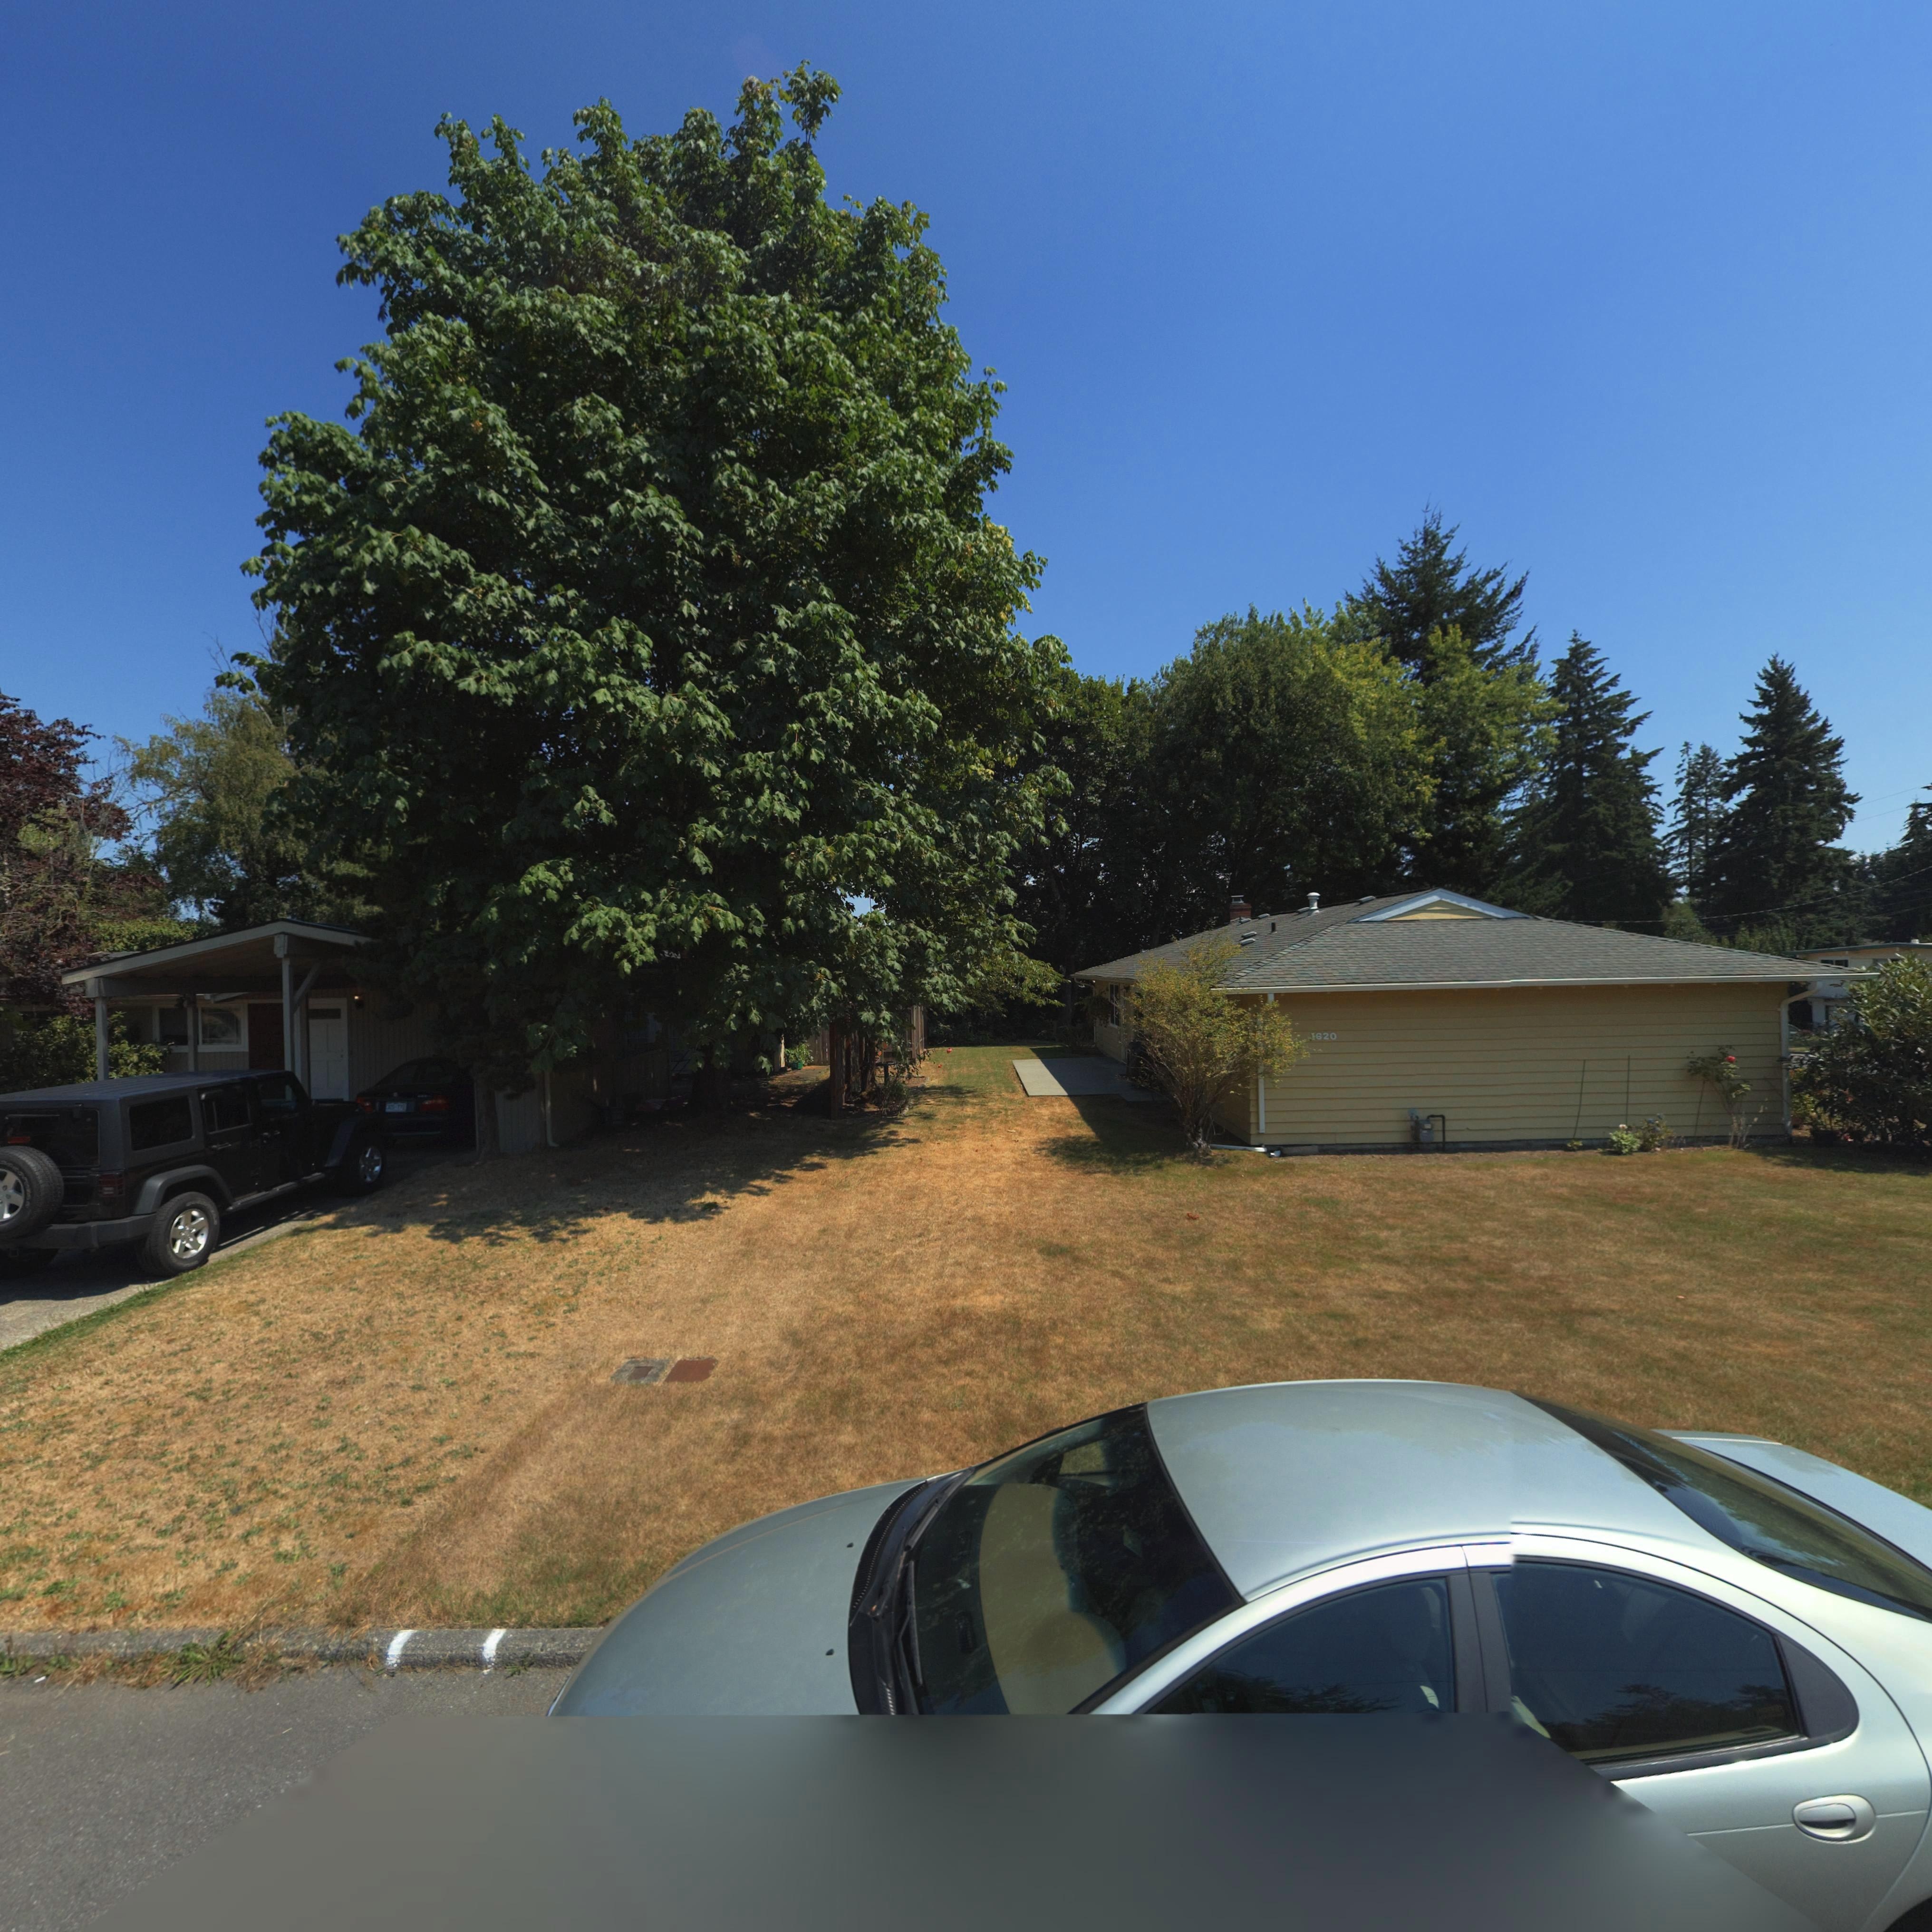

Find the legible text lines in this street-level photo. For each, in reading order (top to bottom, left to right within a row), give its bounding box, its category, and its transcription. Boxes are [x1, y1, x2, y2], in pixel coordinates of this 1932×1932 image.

[1311, 1032, 1337, 1040] StreetNumber: 1620